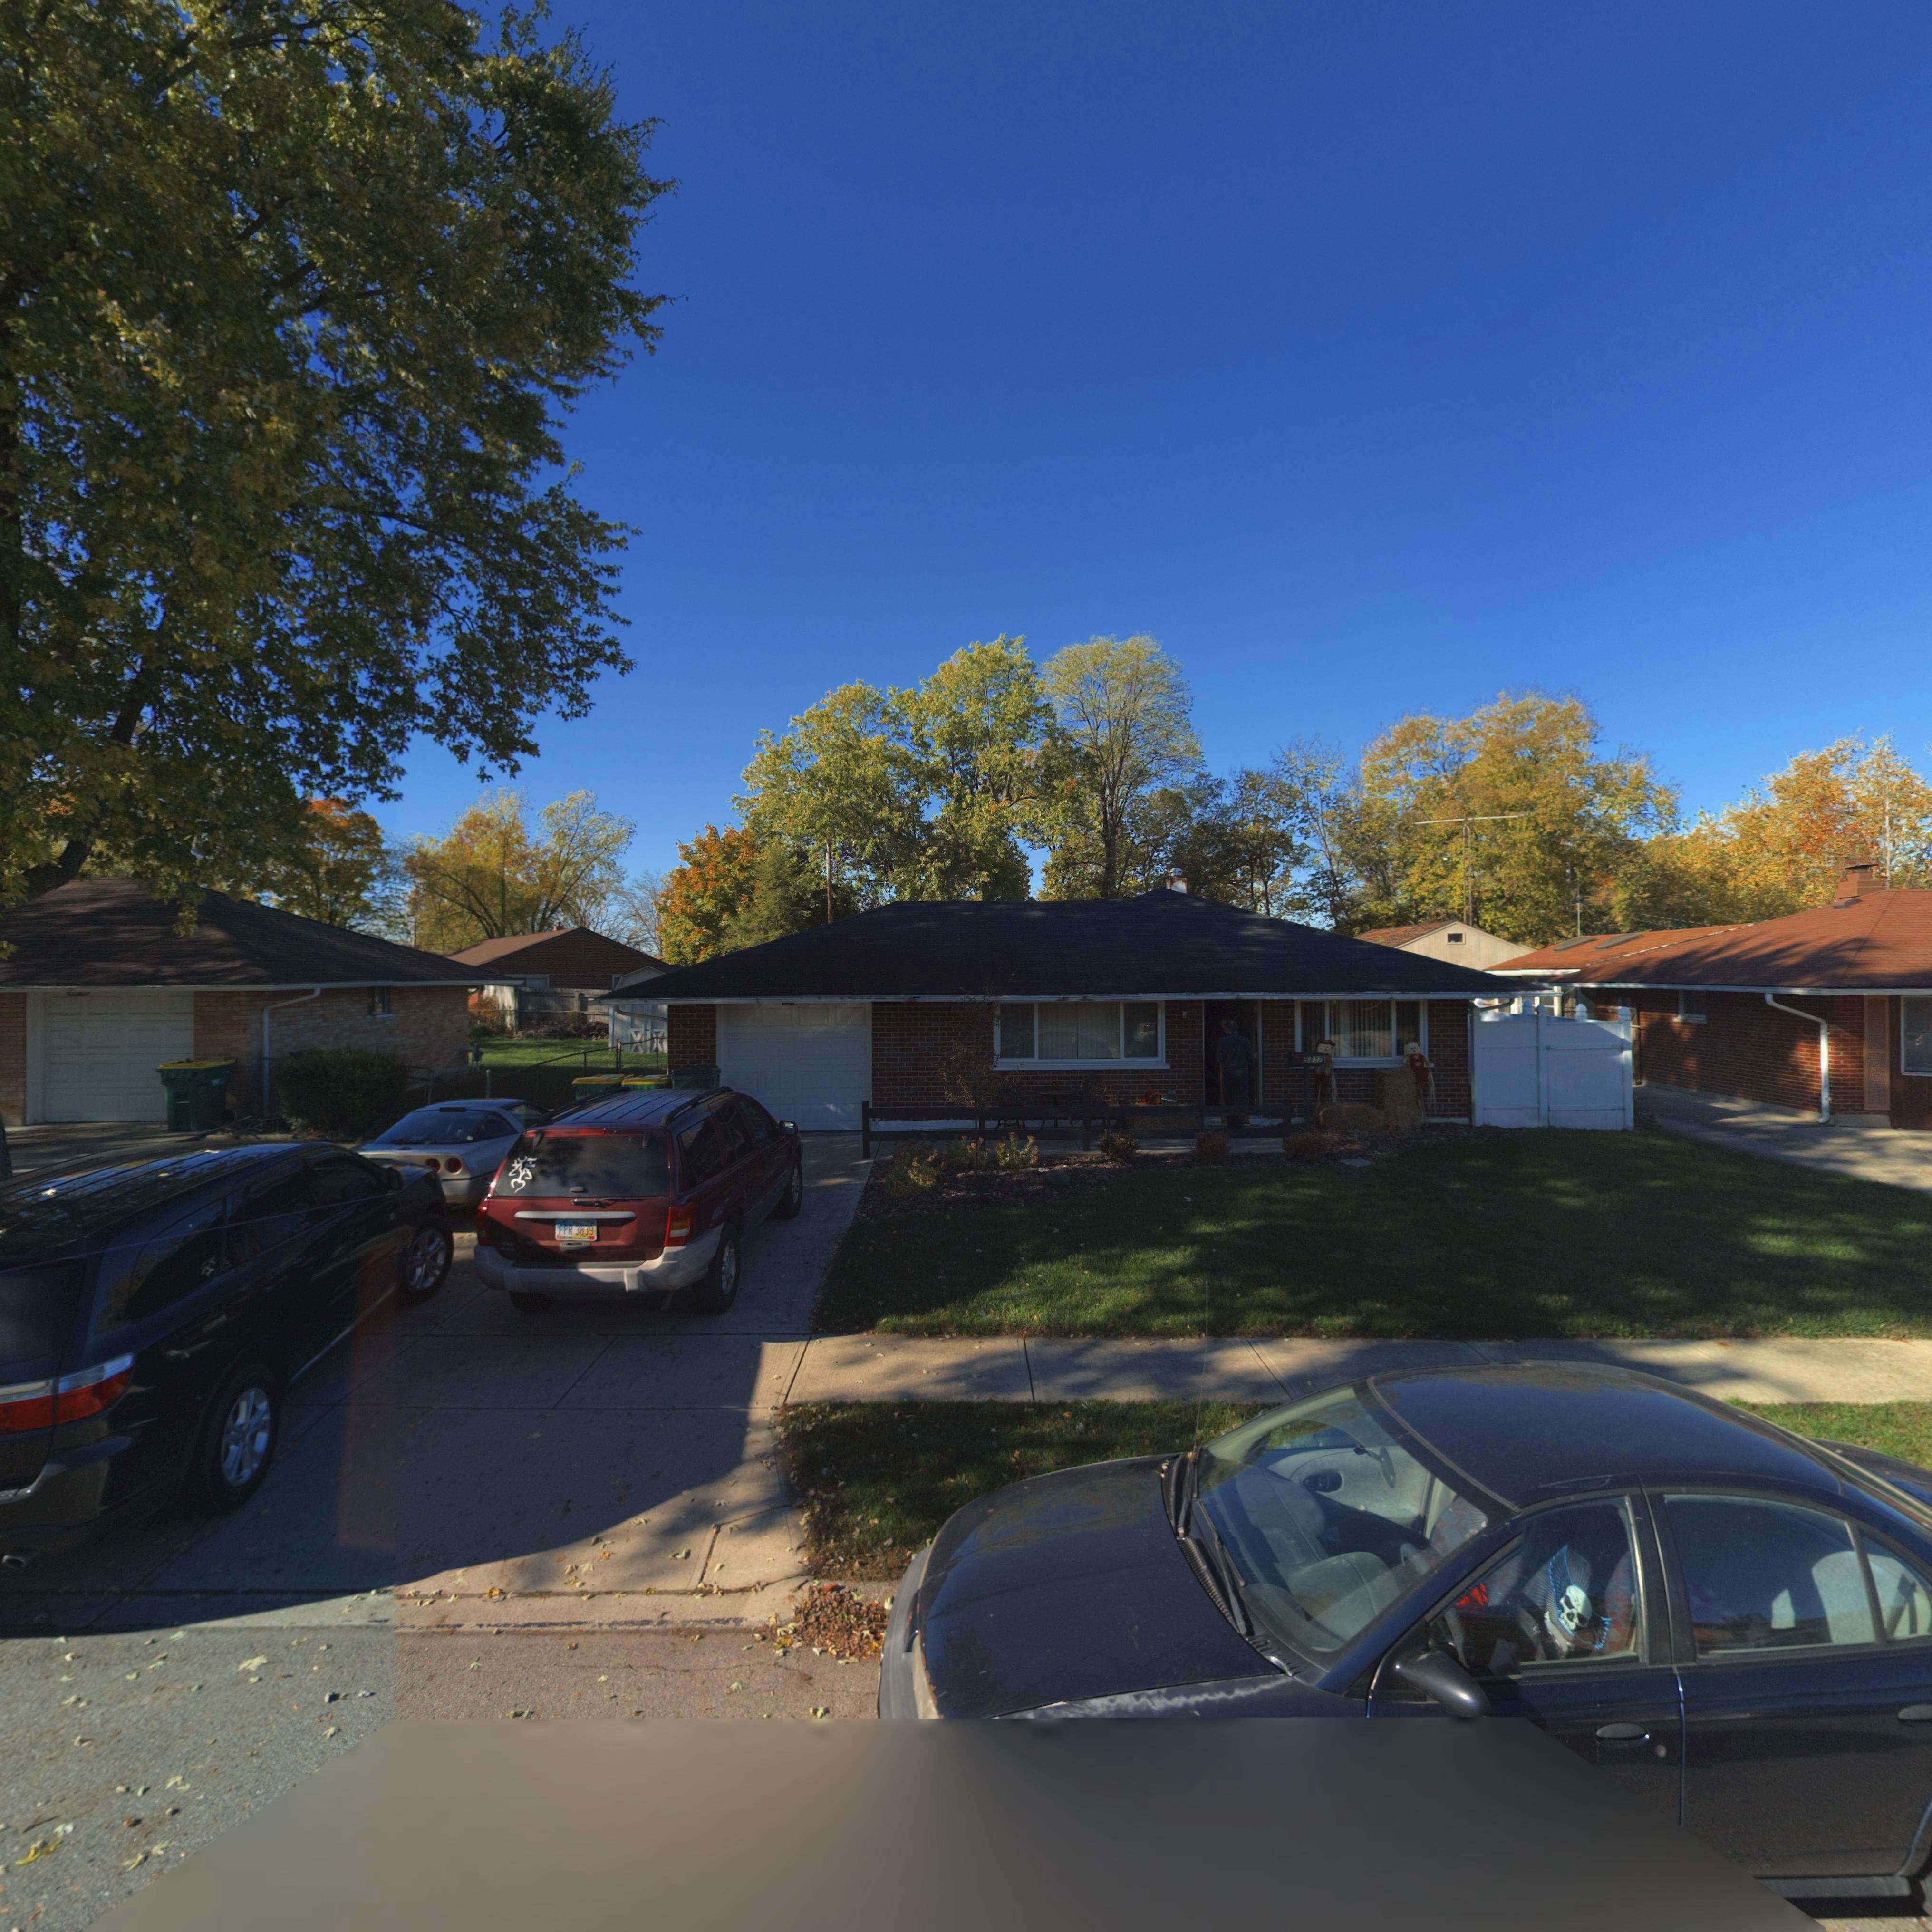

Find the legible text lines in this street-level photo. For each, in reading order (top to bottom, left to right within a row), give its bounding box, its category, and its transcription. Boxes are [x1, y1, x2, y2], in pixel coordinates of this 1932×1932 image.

[1304, 1055, 1322, 1063] StreetNumber: 5137